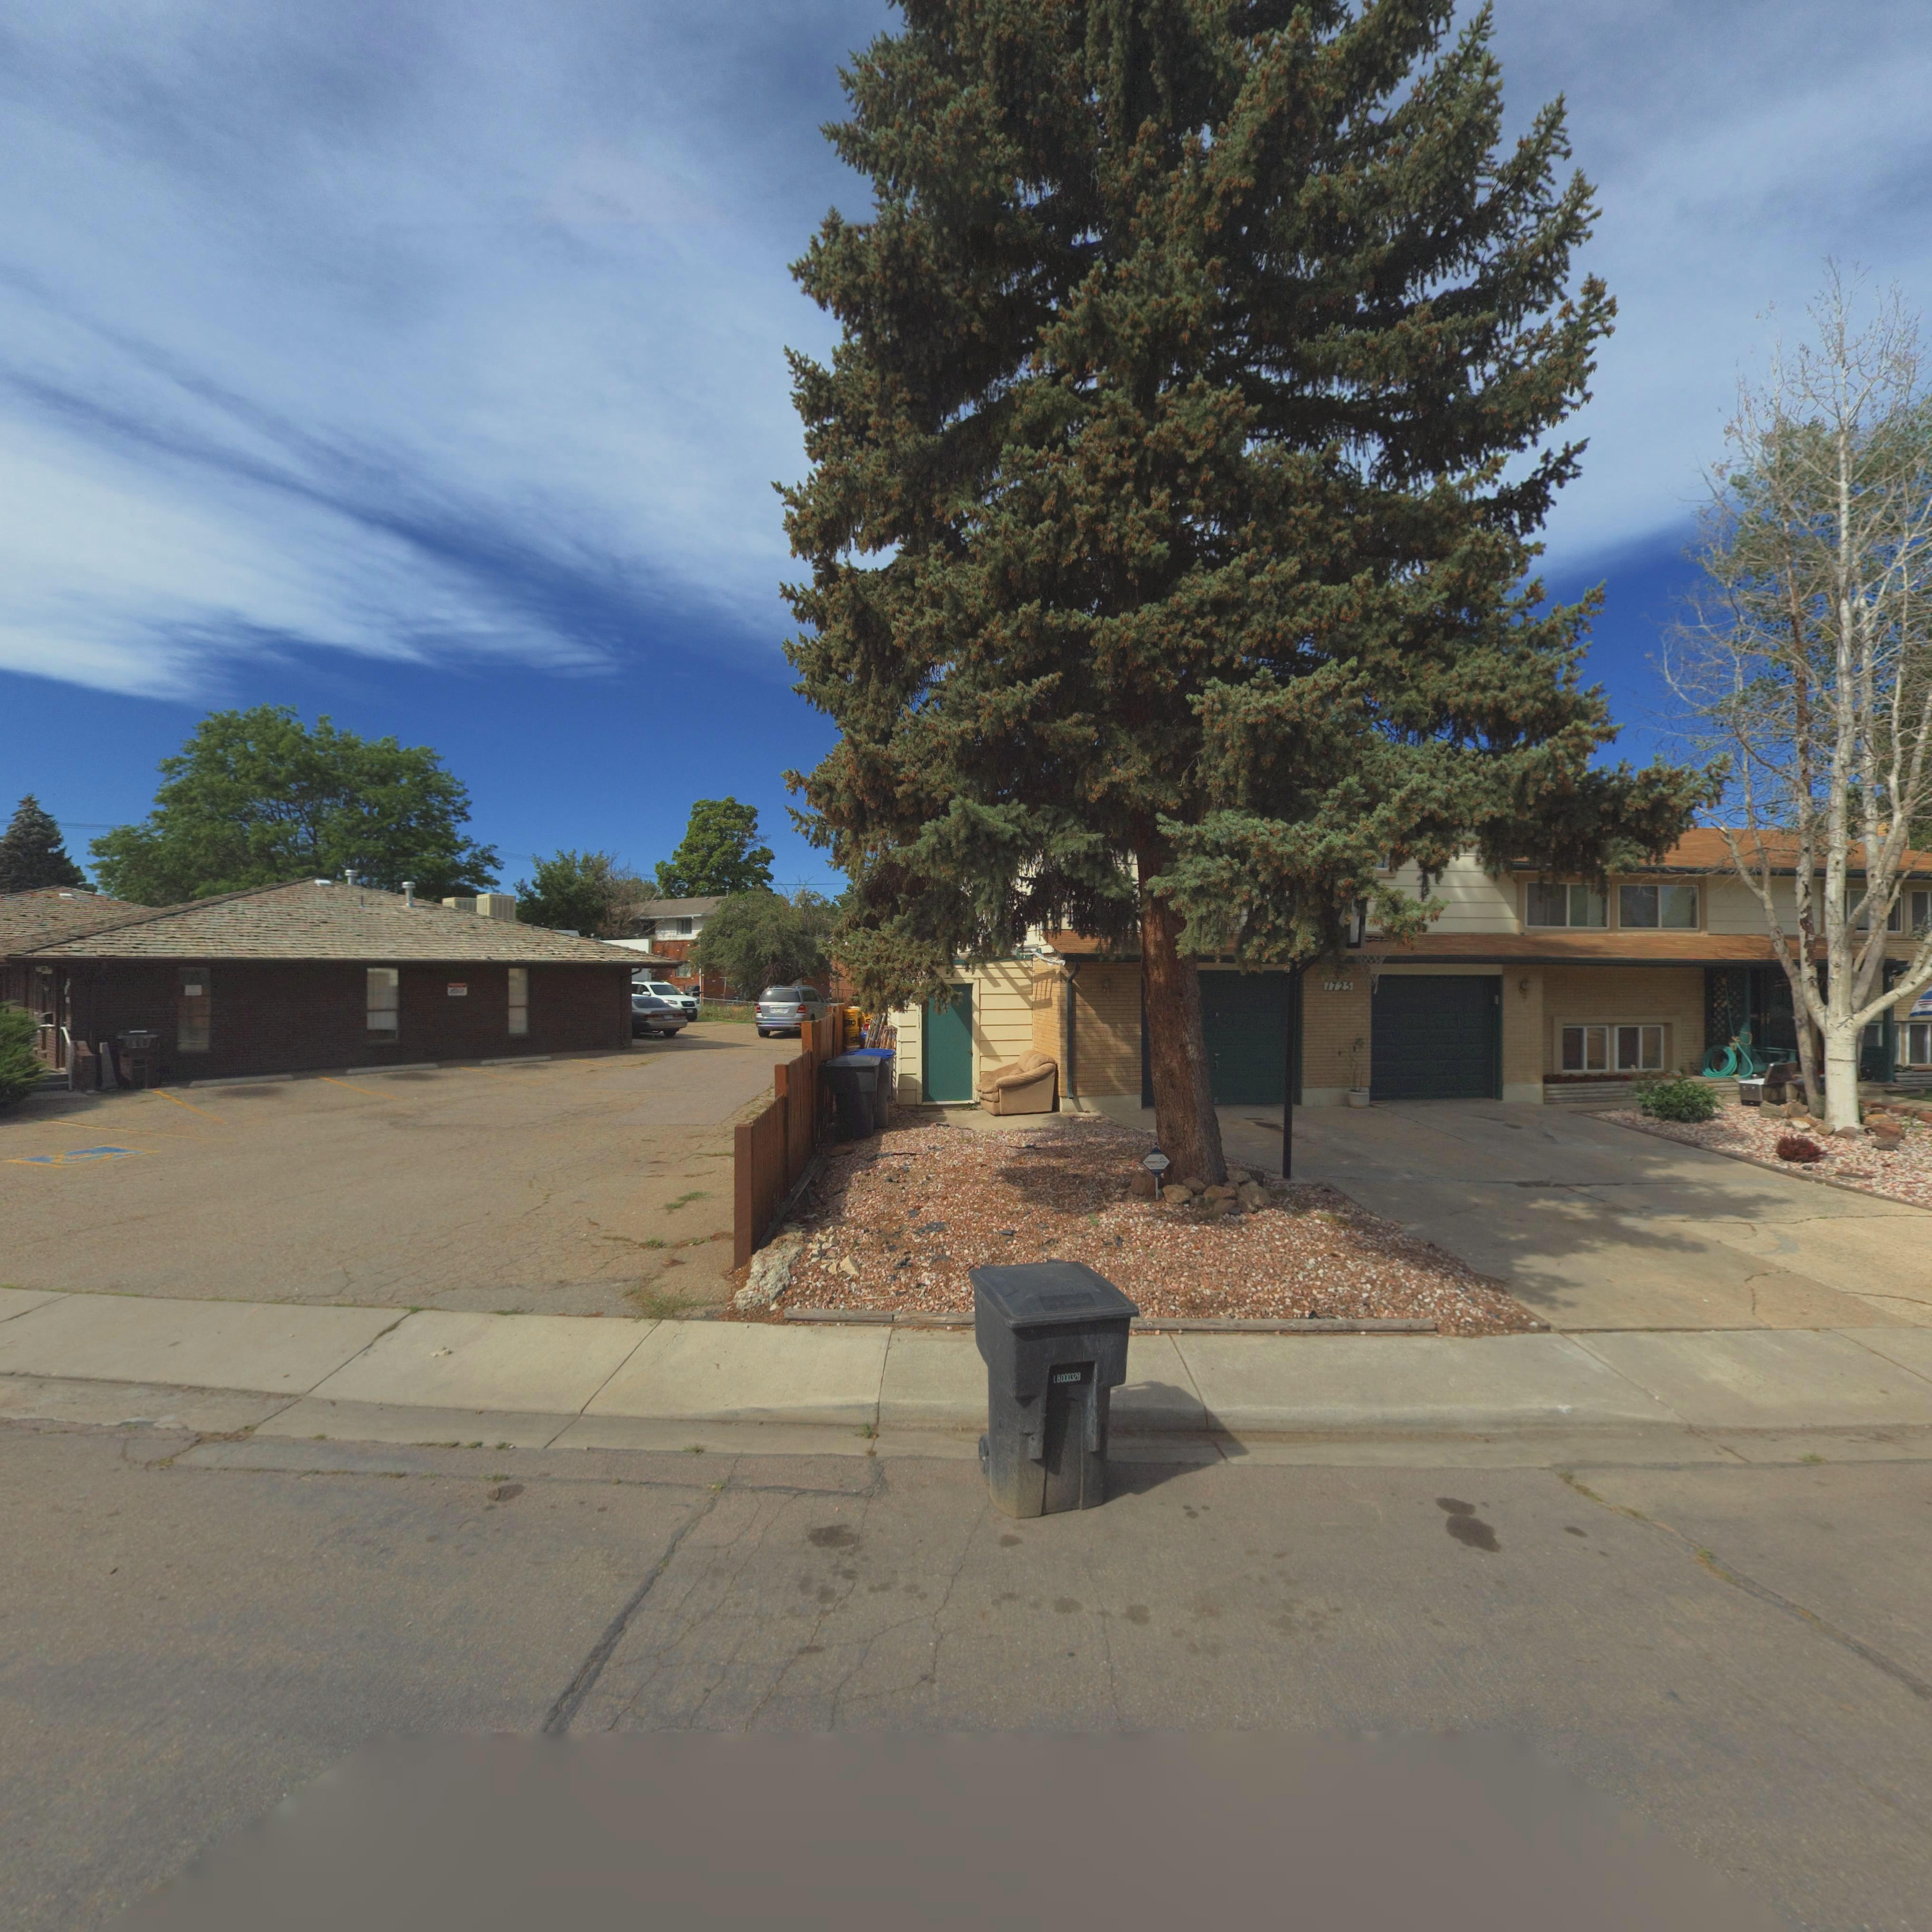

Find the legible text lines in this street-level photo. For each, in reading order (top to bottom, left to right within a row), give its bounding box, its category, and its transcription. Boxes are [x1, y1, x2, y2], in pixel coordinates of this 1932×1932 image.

[1326, 981, 1351, 990] StreetNumber: 1725